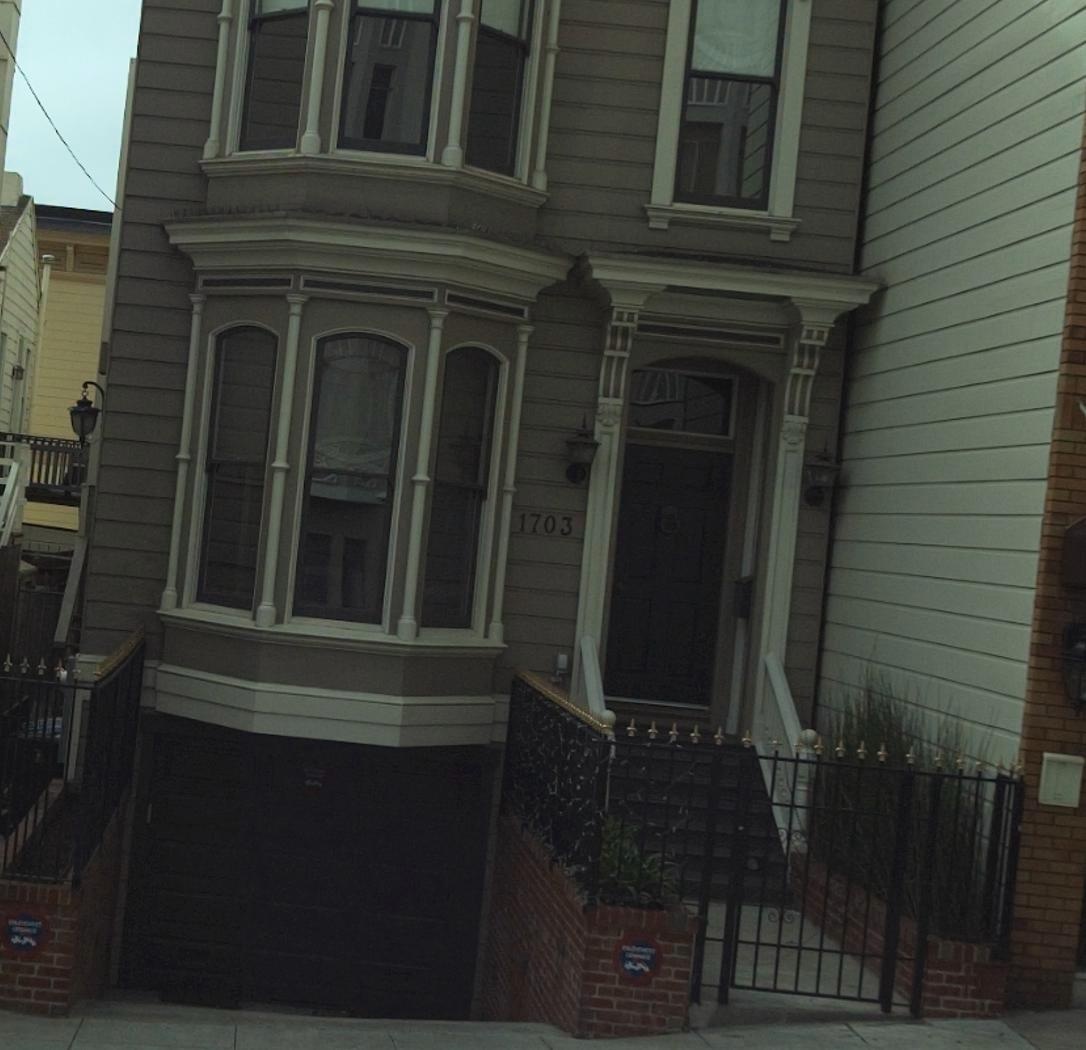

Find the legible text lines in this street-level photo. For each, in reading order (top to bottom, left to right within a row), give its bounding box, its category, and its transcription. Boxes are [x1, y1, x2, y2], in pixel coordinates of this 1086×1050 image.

[516, 510, 575, 538] StreetNumber: 1703